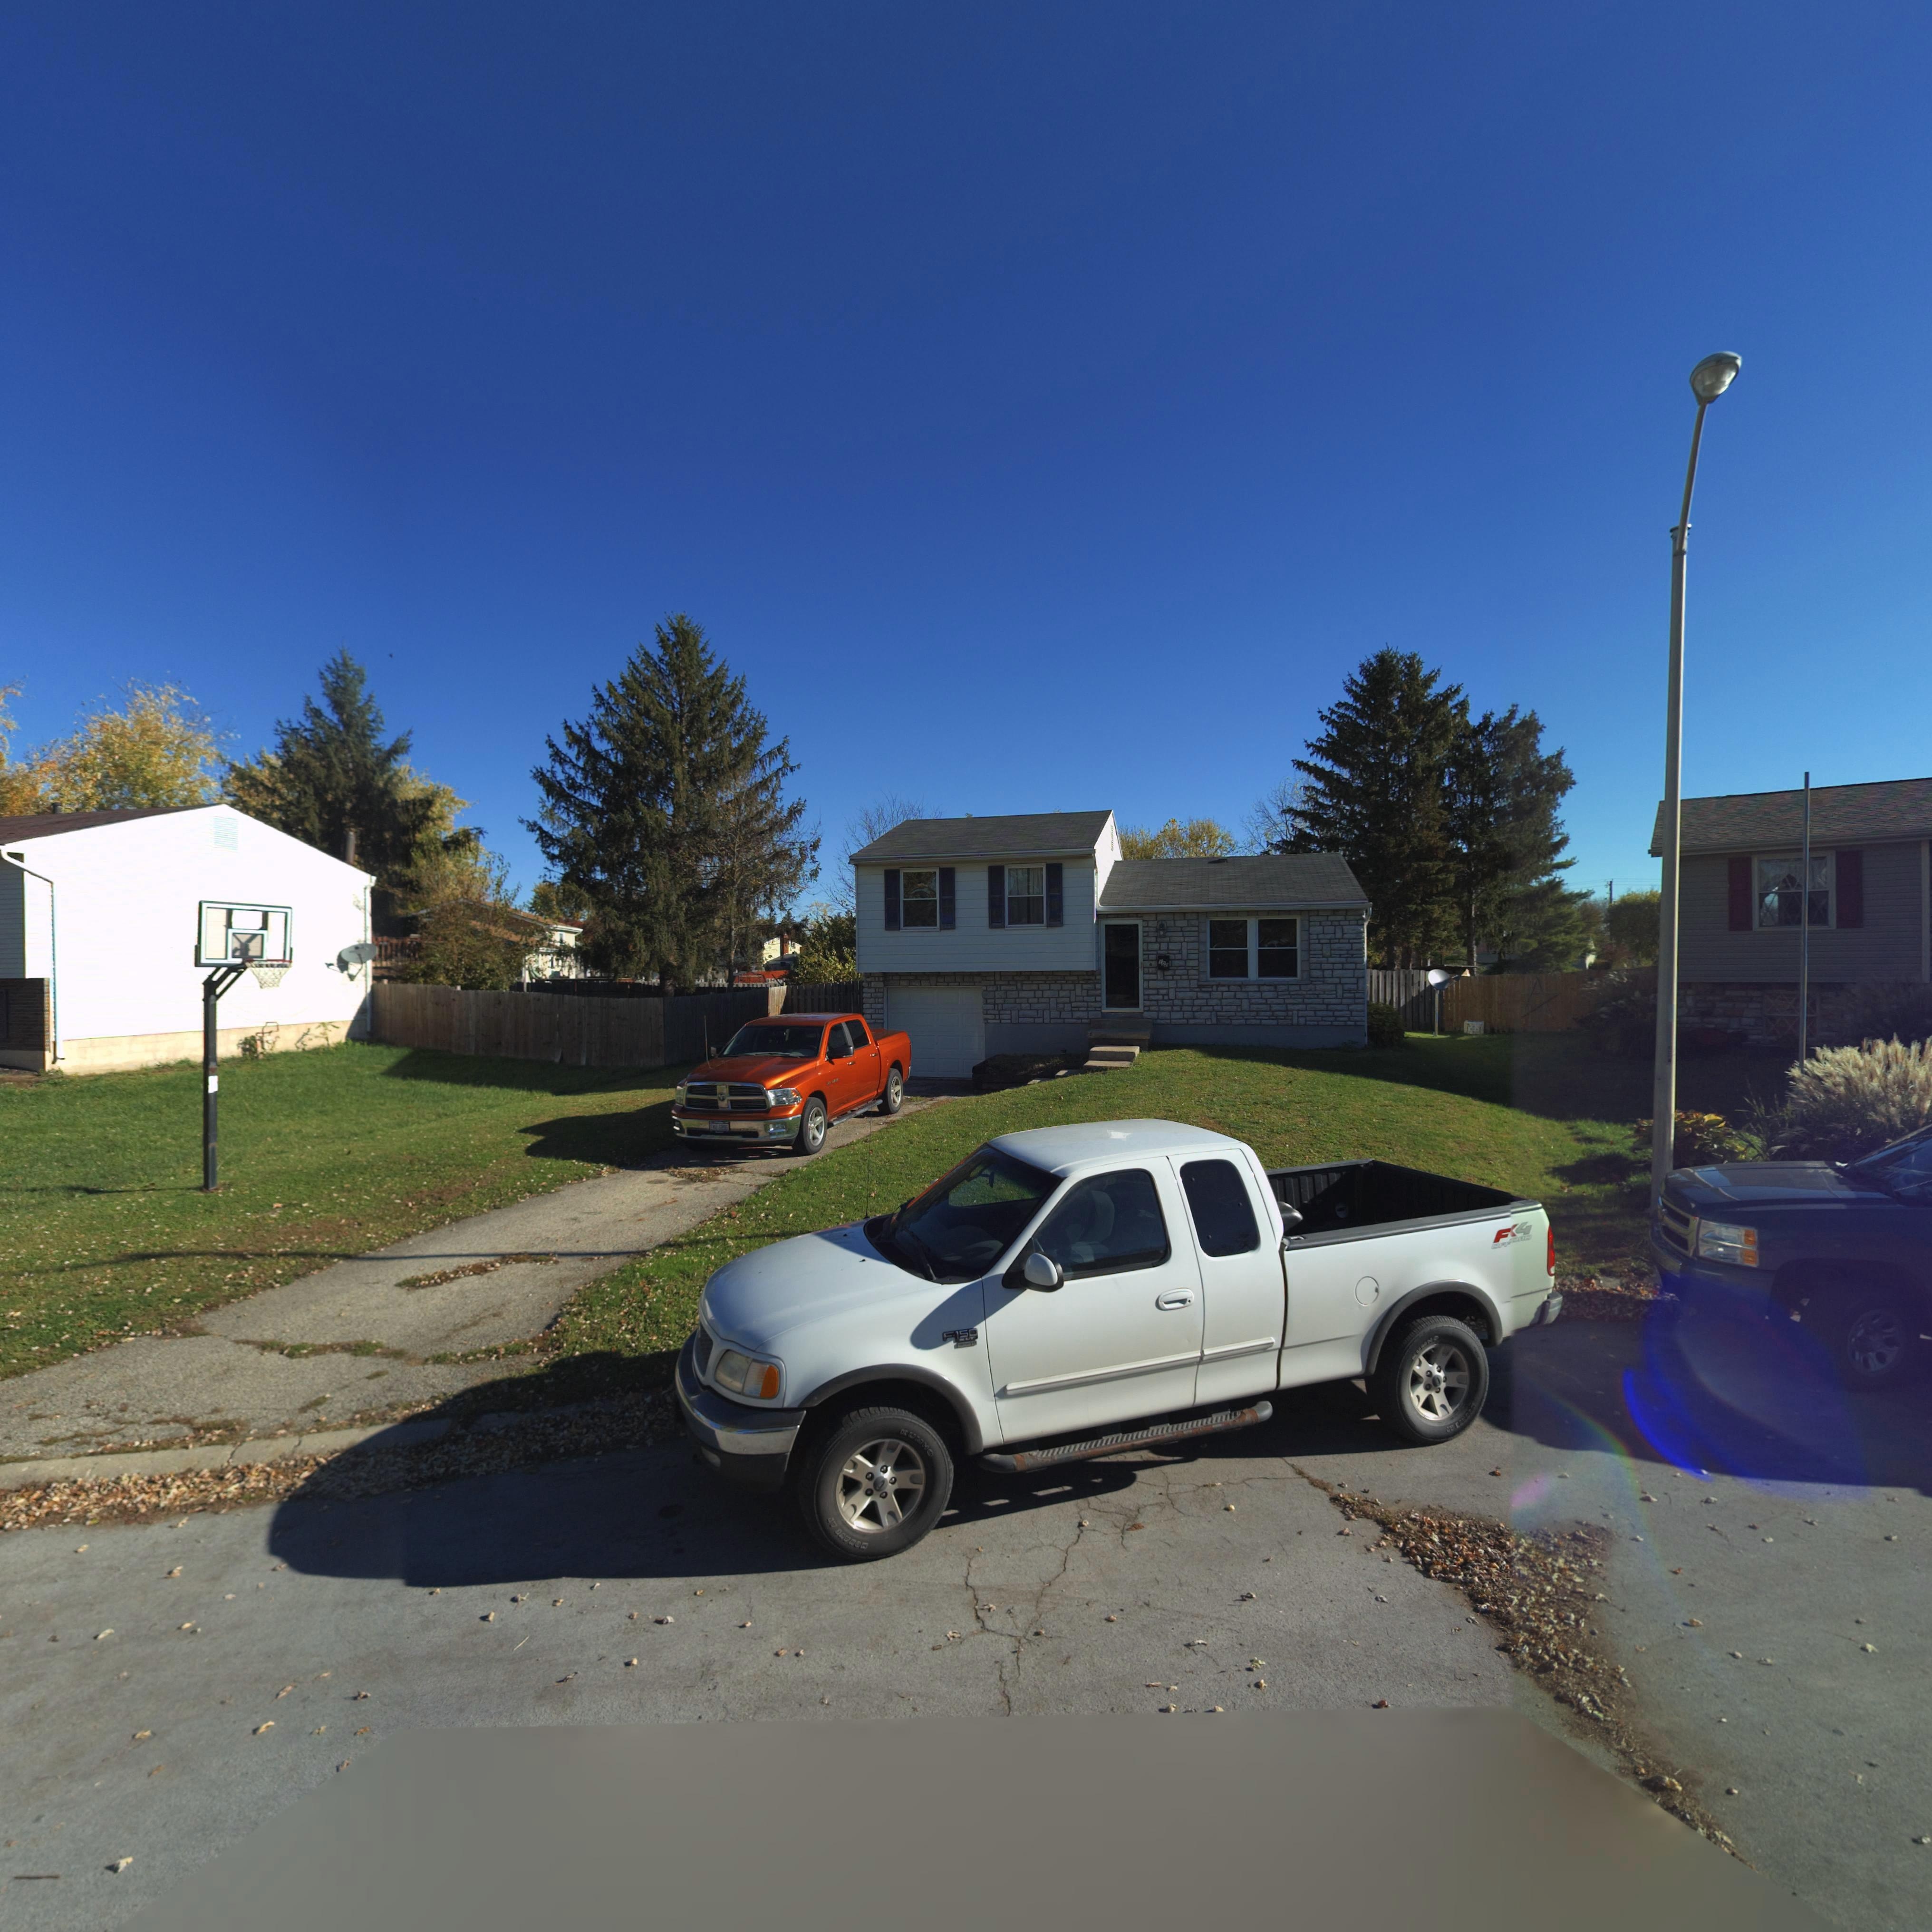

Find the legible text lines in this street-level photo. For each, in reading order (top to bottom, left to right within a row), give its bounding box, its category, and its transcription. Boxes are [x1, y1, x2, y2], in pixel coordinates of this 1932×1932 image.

[1159, 959, 1169, 967] StreetNumber: 102